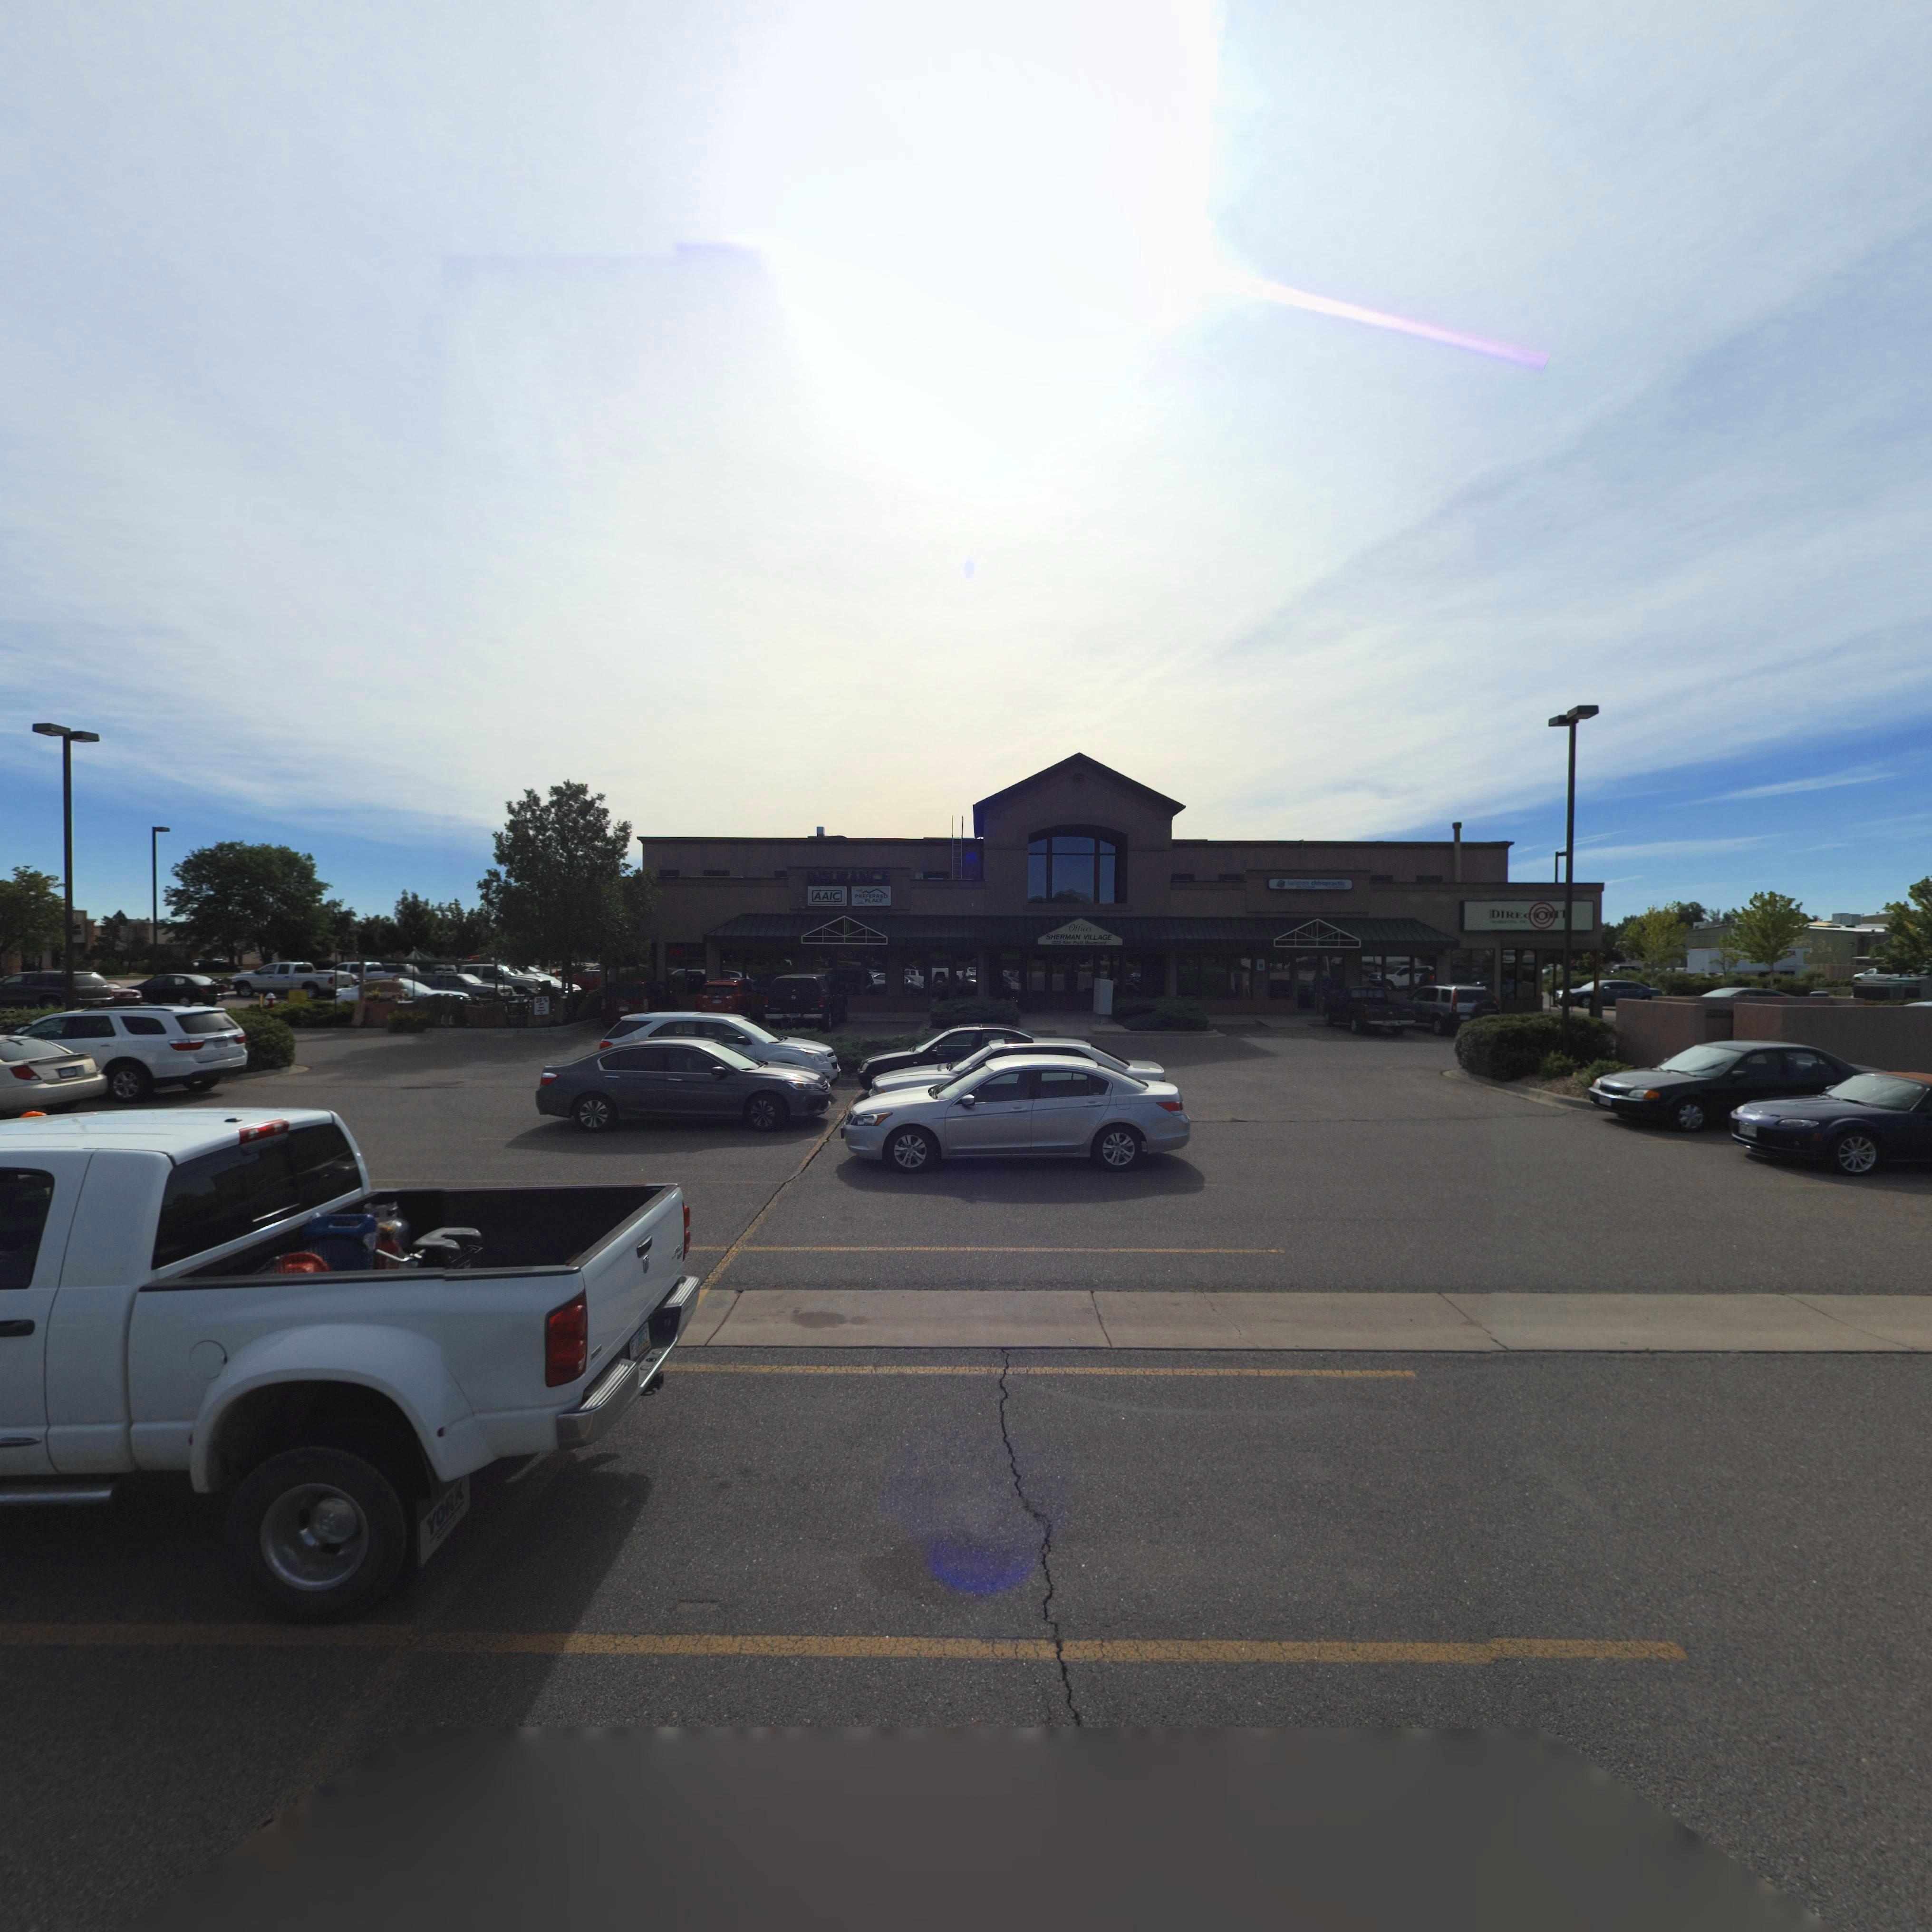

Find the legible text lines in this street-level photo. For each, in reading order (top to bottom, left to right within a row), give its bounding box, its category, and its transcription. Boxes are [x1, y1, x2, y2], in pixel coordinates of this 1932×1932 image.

[806, 869, 889, 884] BusinessName: INSURANCE
[1287, 879, 1344, 886] BusinessName: la*imore chiropractic
[813, 891, 840, 900] BusinessName: AAIC
[854, 894, 888, 898] BusinessName: PREFERRED
[865, 898, 882, 902] BusinessName: PLACE
[1490, 908, 1567, 919] BusinessName: DIREC****T
[1051, 940, 1061, 944] StreetNumber: 1225
[1061, 939, 1107, 945] StreetName: Ken Pratt Boulevard